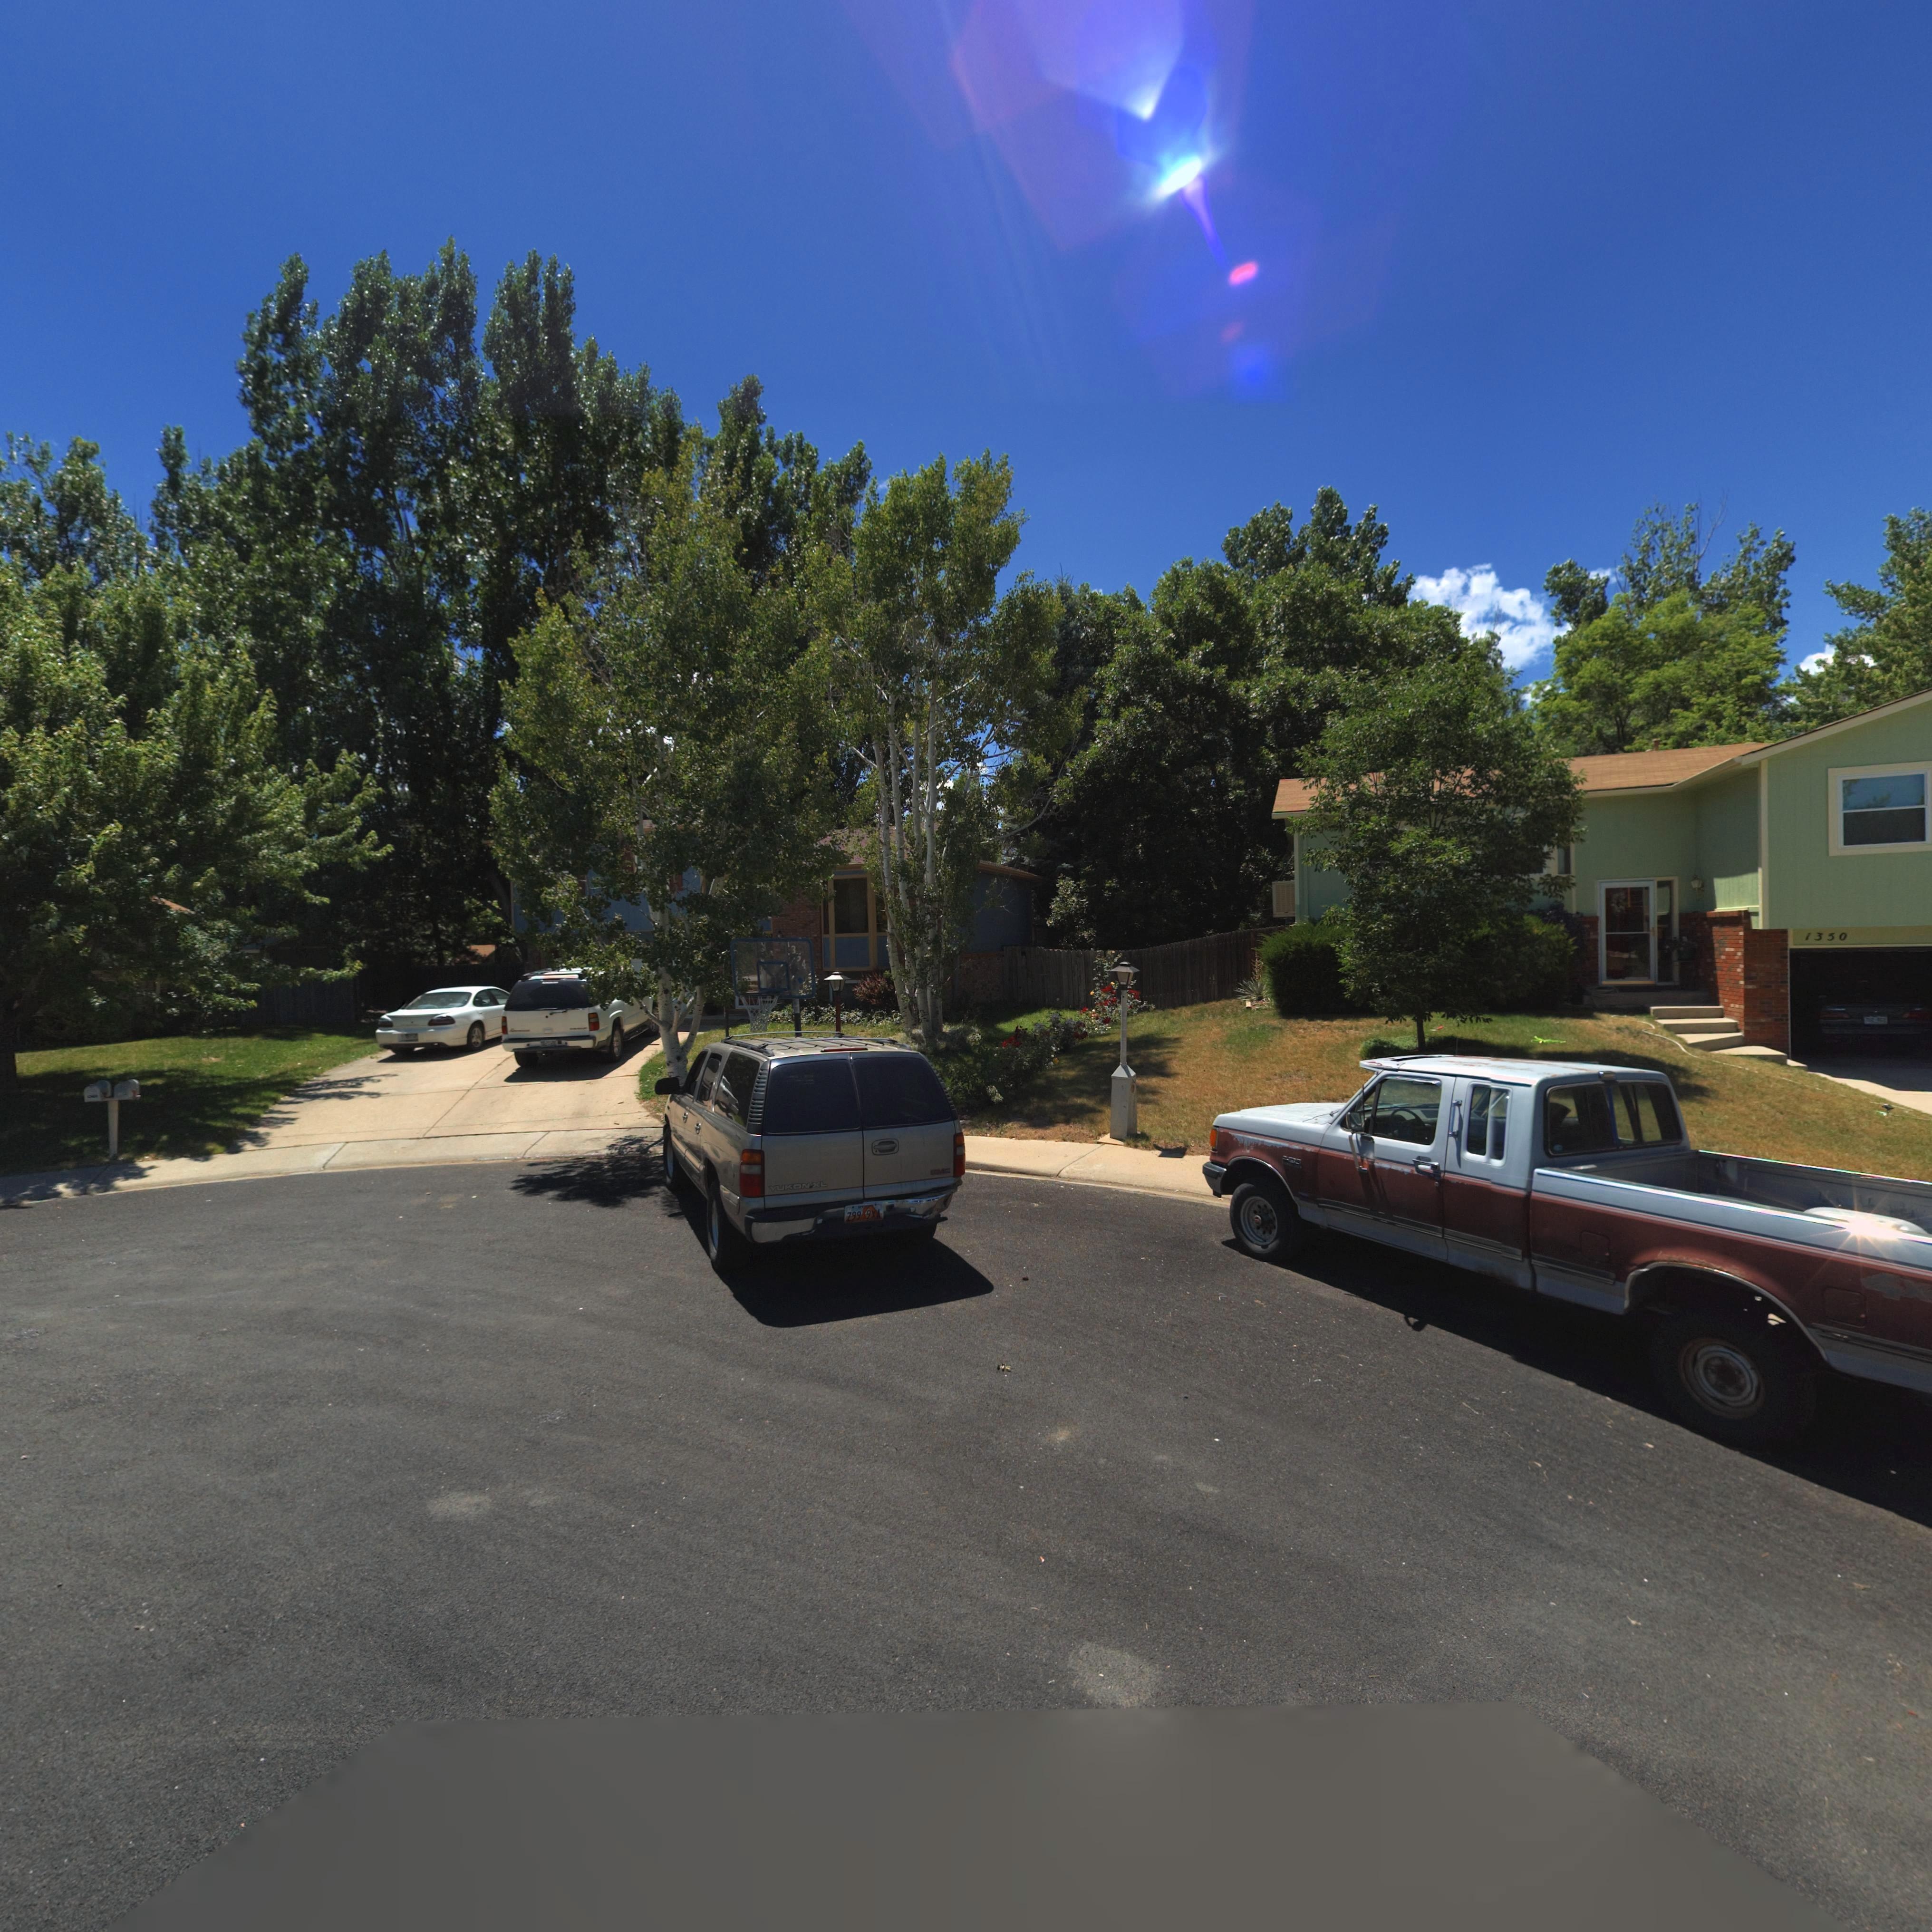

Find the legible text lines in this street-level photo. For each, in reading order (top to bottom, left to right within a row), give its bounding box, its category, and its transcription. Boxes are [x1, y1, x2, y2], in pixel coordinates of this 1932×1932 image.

[1804, 932, 1847, 941] StreetNumber: 1350
[787, 940, 806, 970] StreetNumber: 13*4